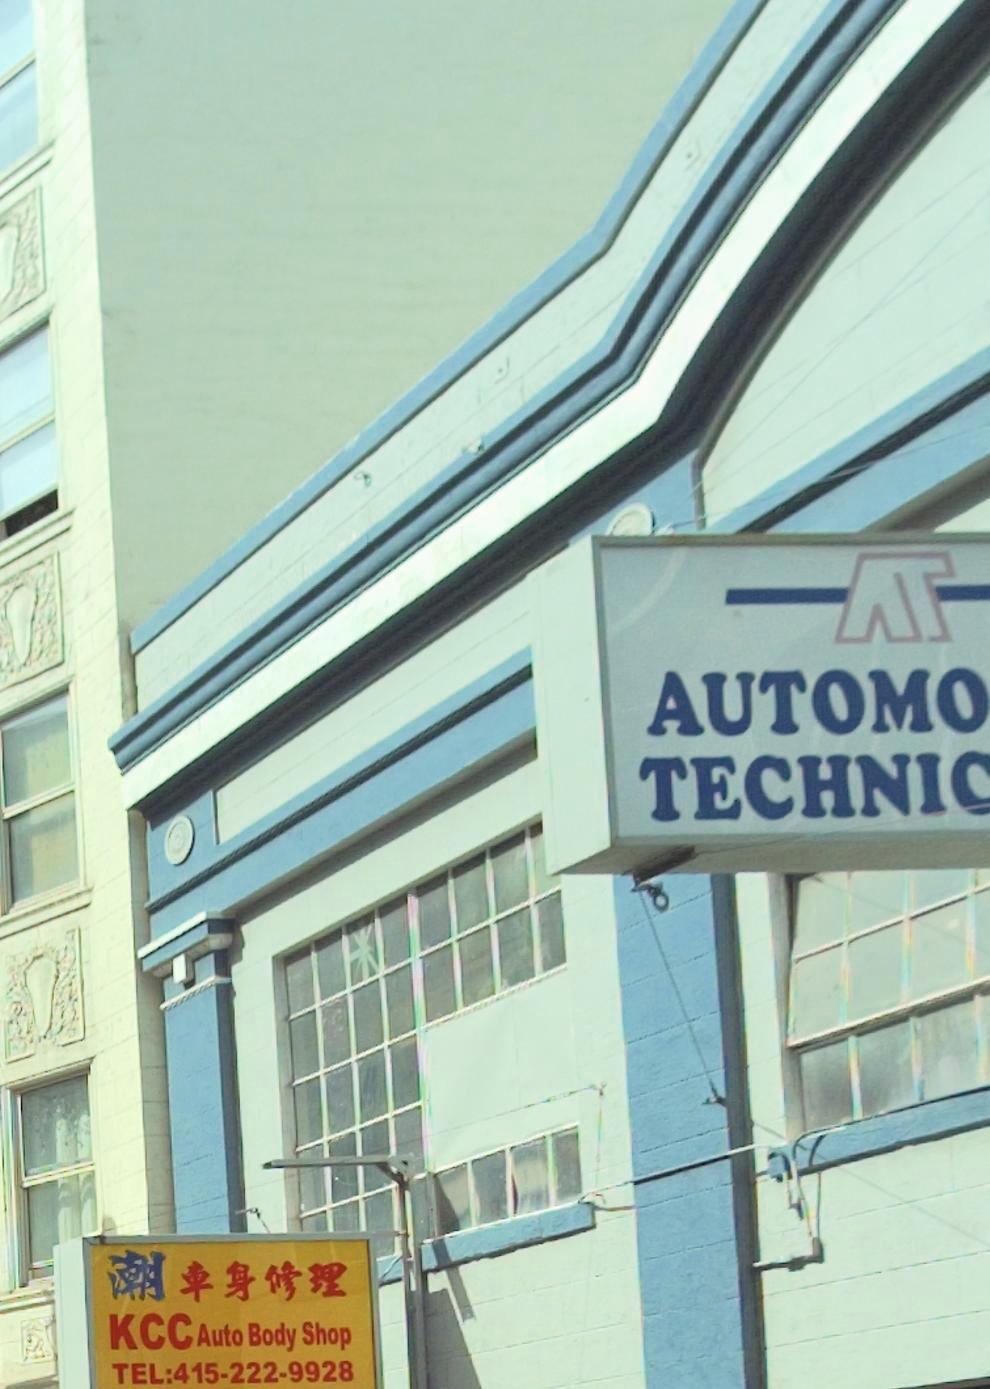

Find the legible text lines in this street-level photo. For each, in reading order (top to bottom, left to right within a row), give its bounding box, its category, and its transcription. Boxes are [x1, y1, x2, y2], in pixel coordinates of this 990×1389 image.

[643, 665, 990, 738] BusinessName: AUTOMO
[634, 748, 950, 827] BusinessName: TECHNI
[105, 1308, 354, 1355] BusinessName: KCC Auto Body Shop
[106, 1356, 358, 1387] None: TEL:415-222-9928